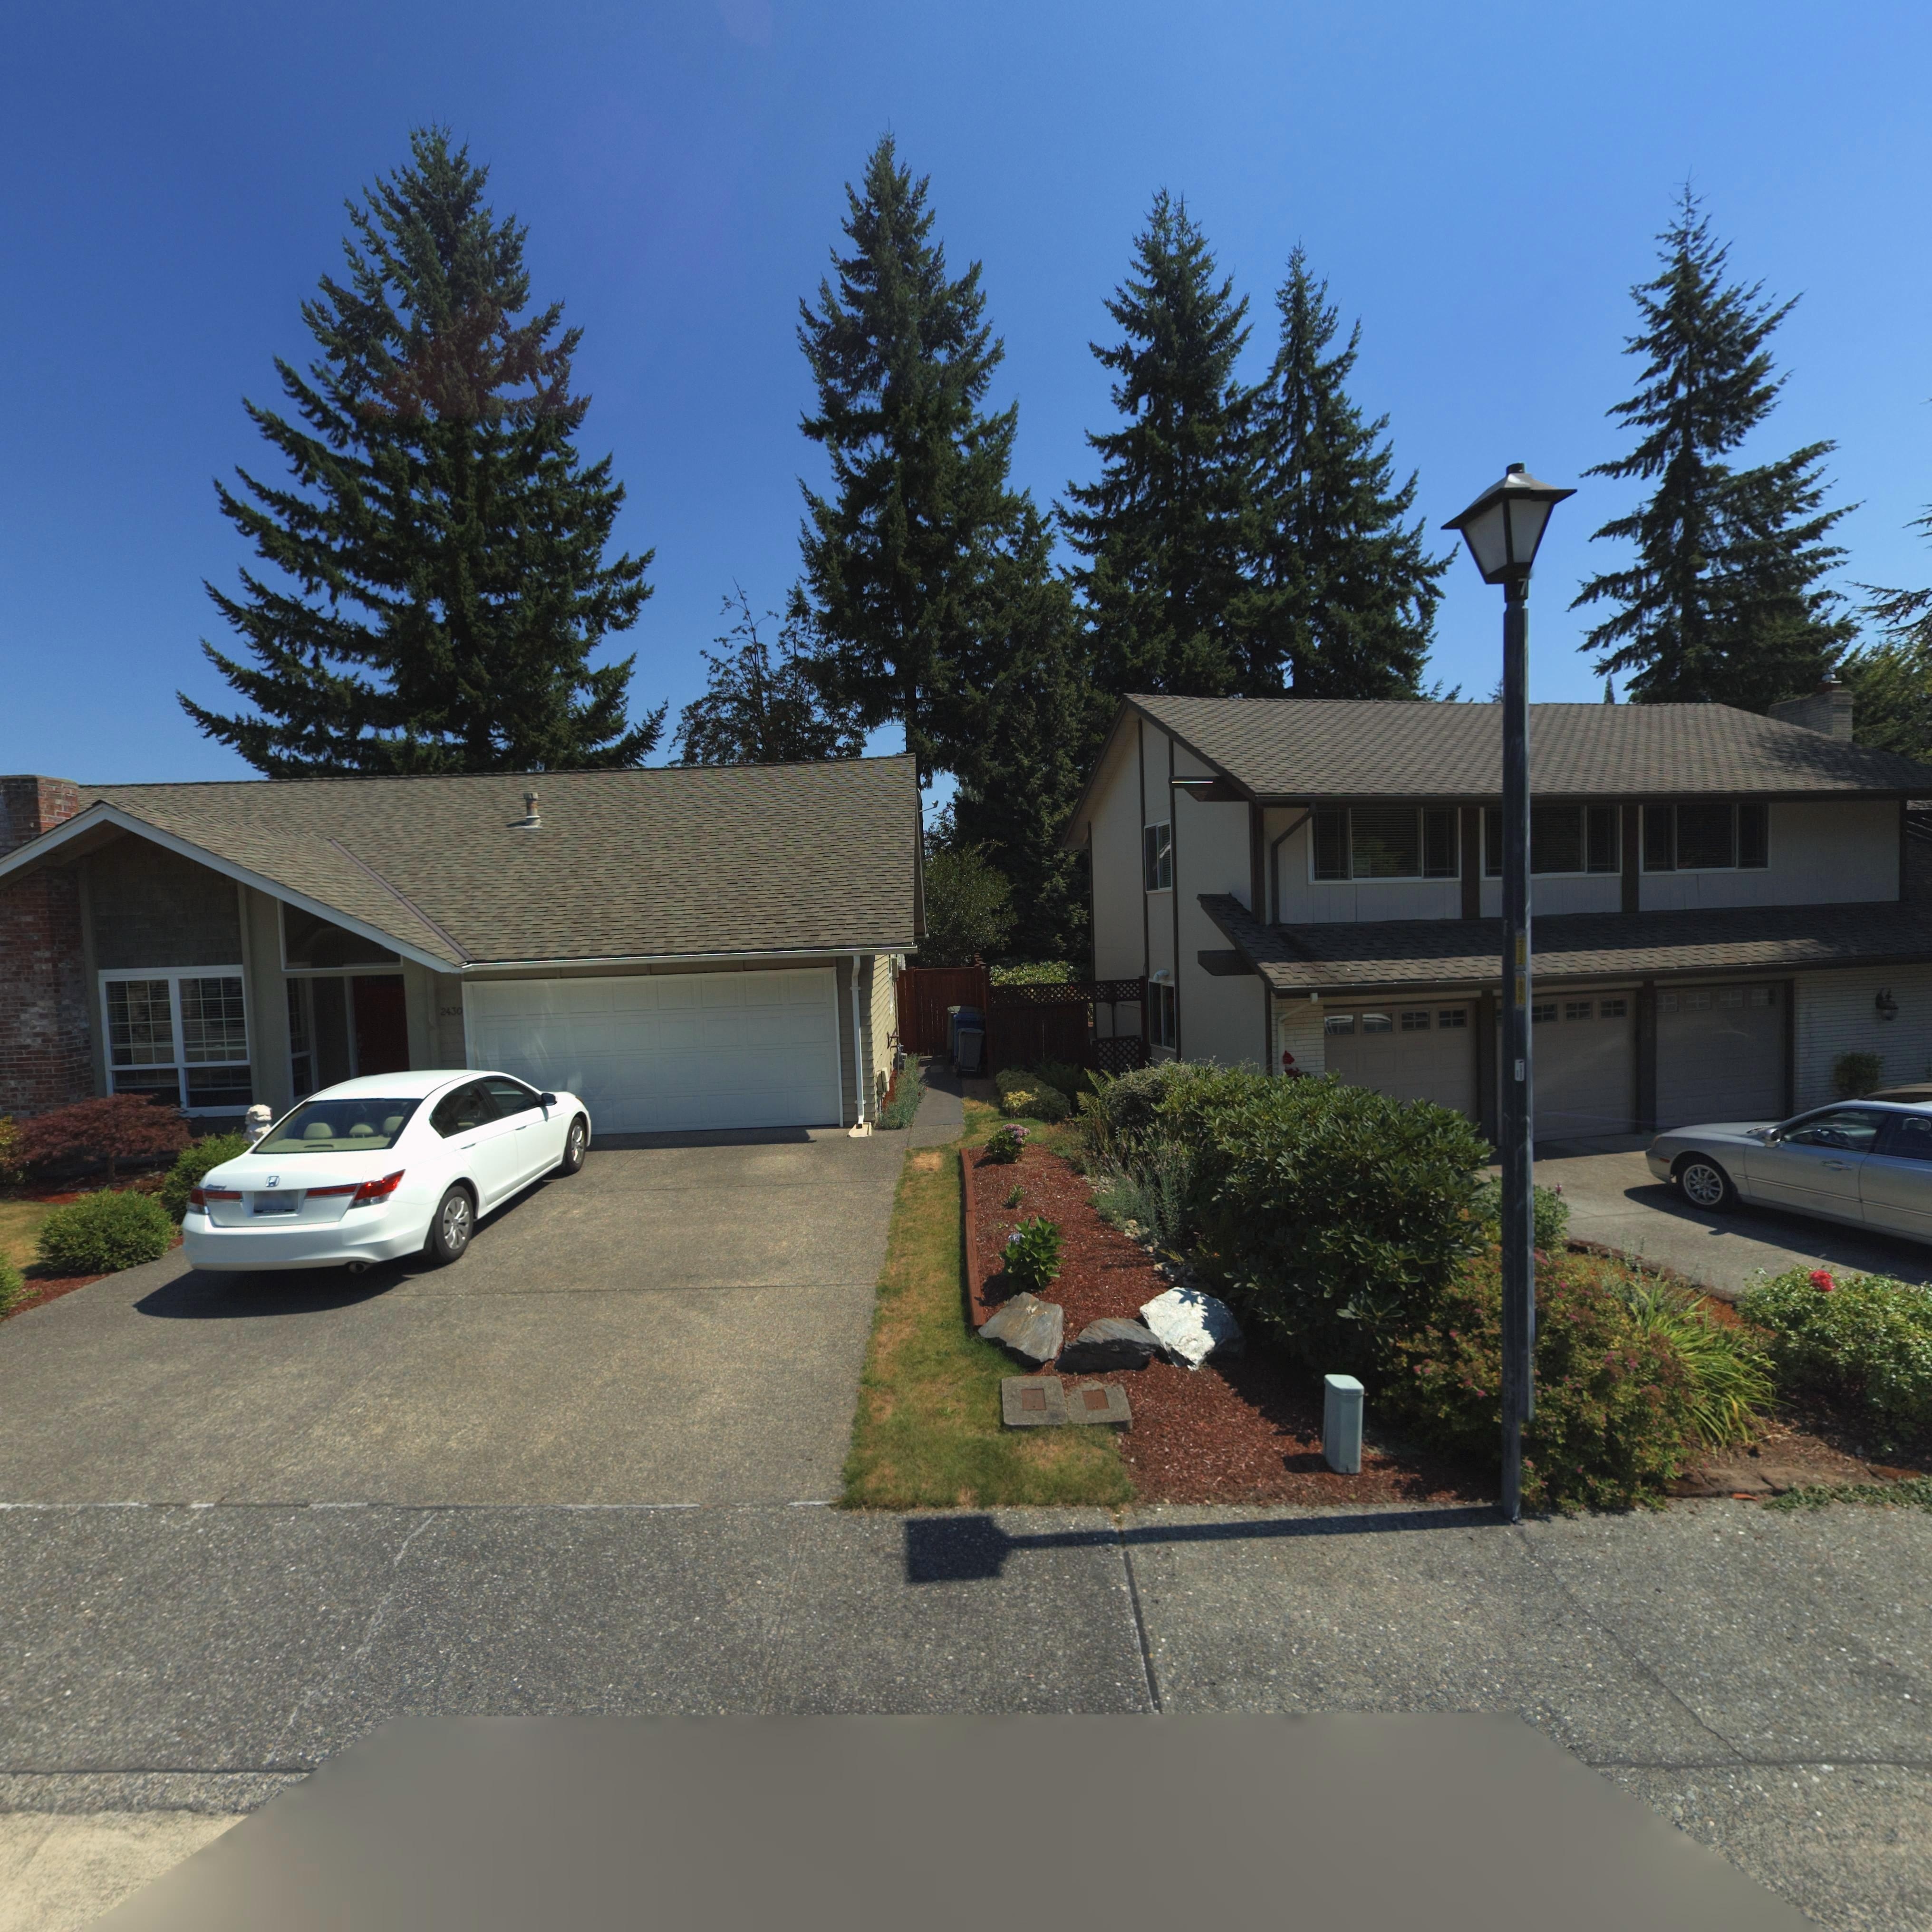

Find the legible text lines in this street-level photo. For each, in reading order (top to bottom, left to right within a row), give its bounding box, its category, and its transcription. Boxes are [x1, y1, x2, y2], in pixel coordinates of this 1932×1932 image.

[441, 1008, 462, 1015] StreetNumber: 2430